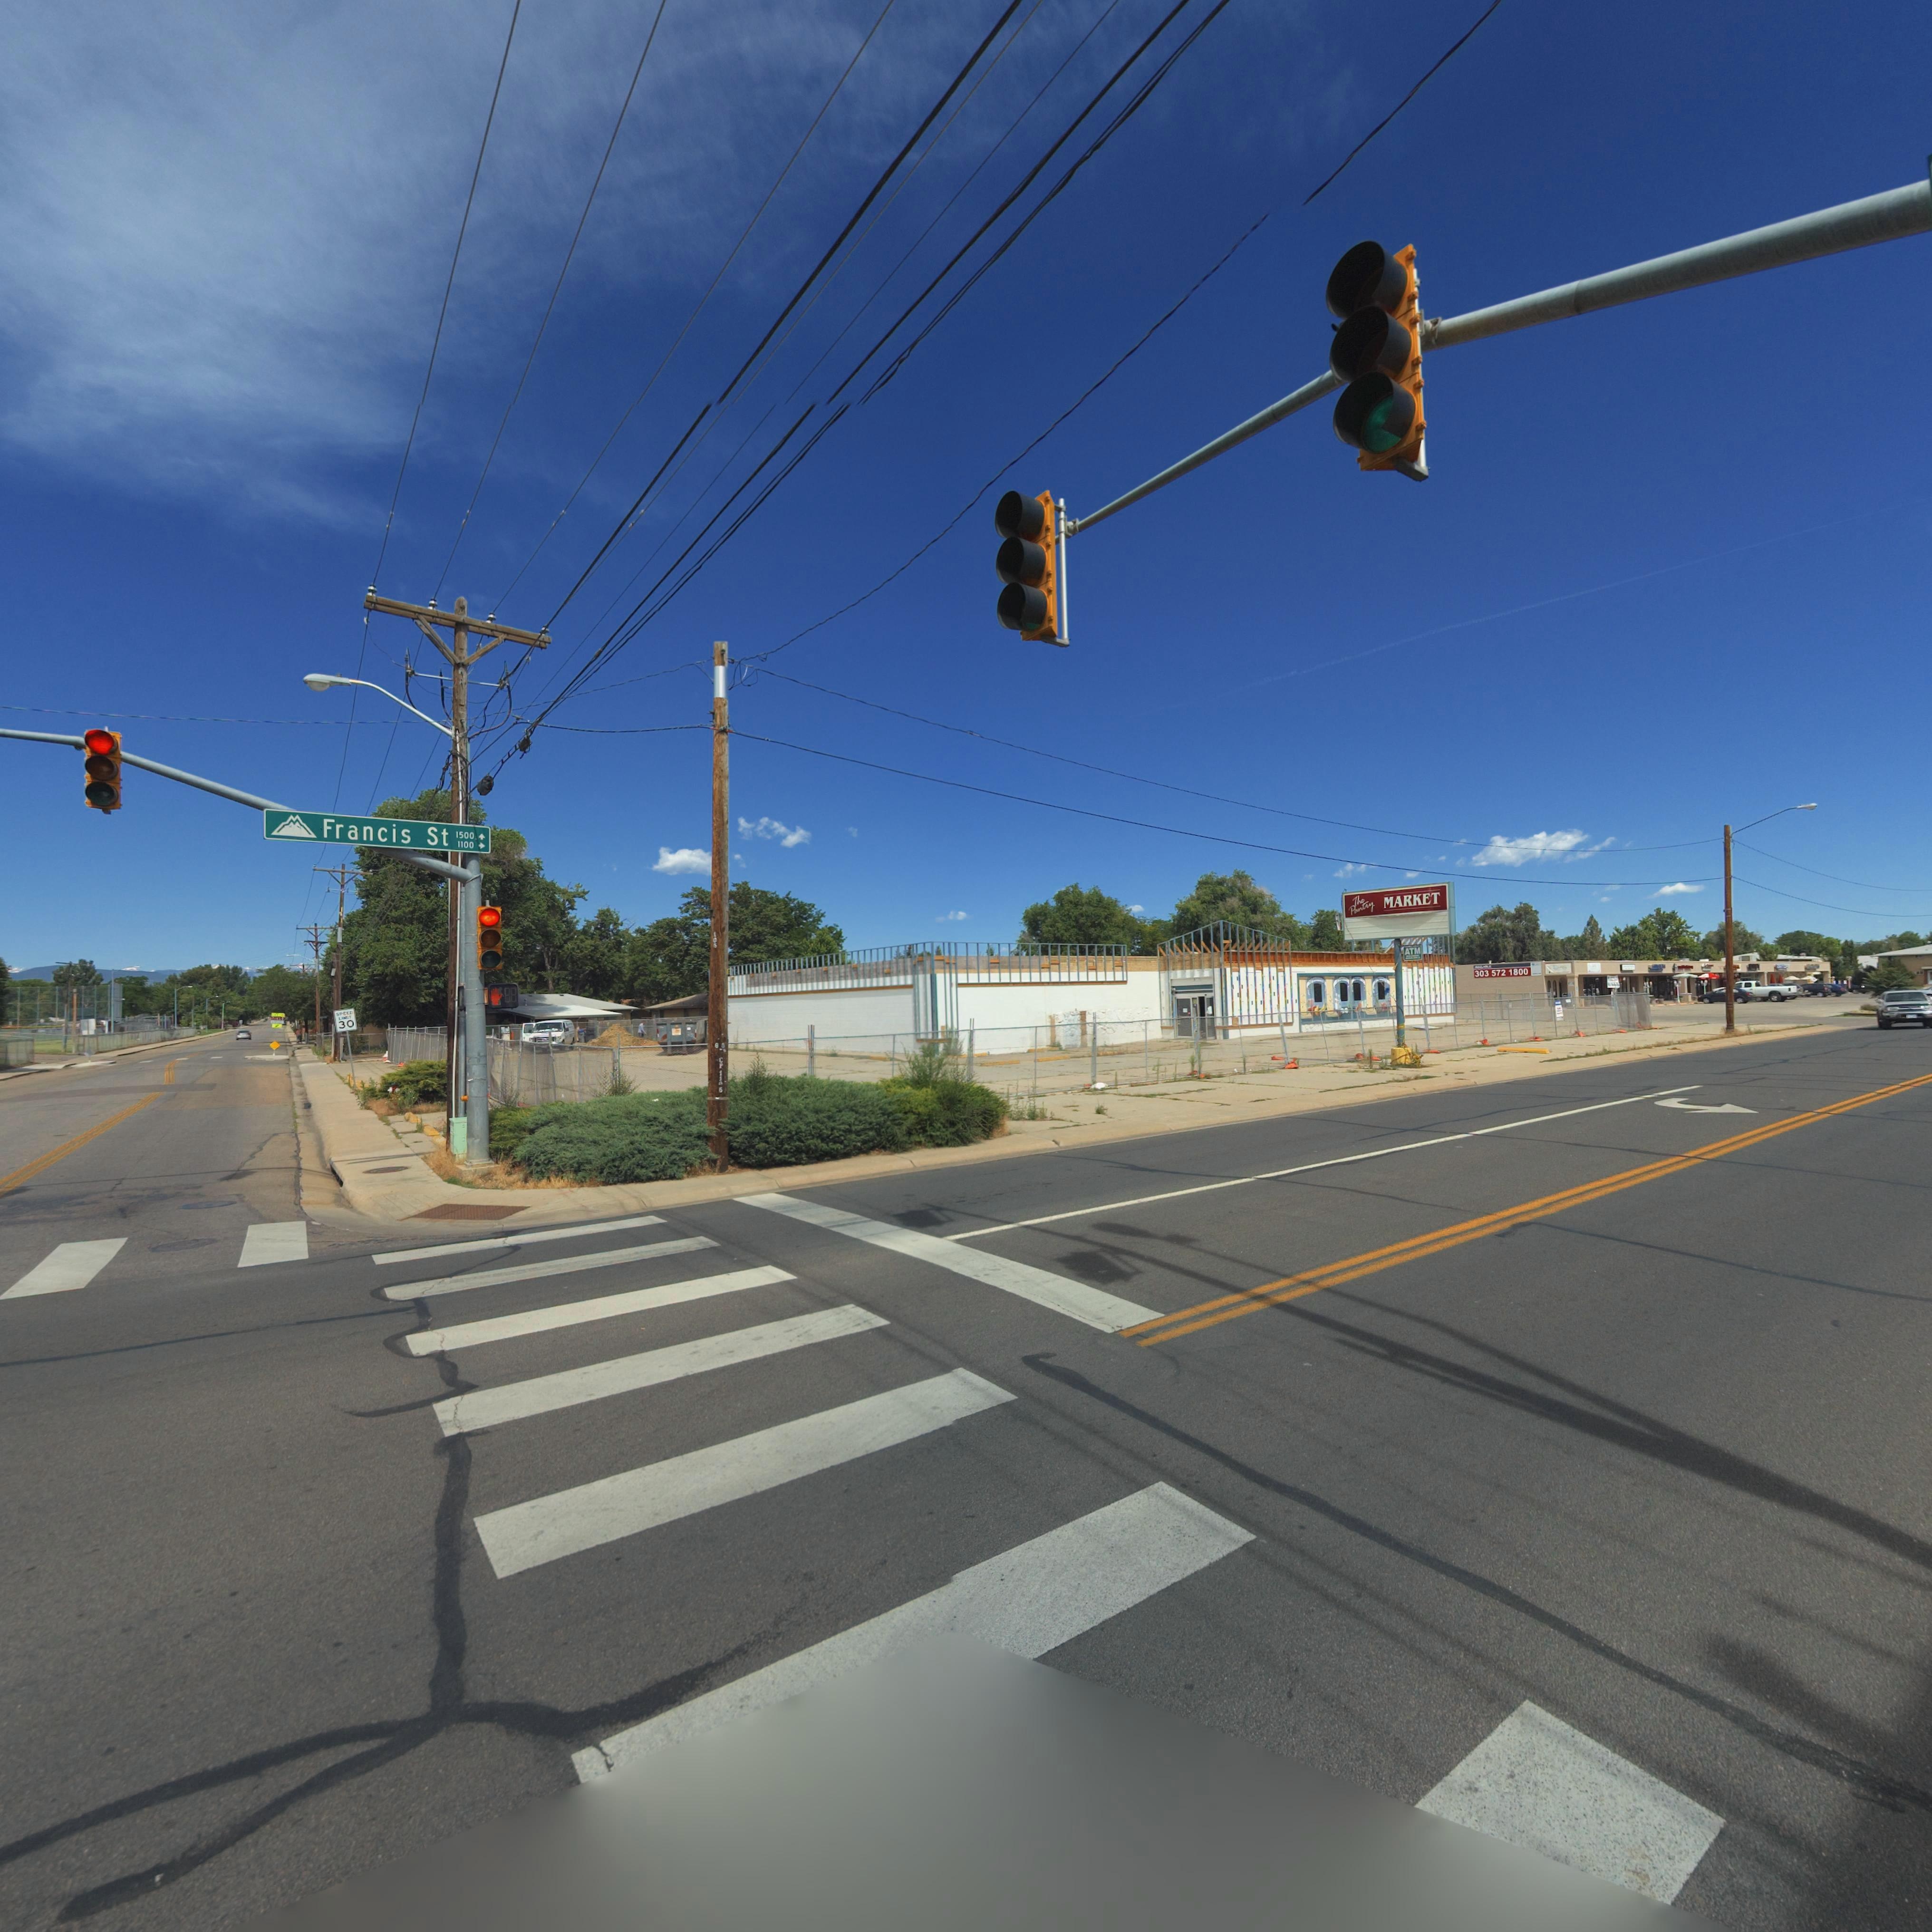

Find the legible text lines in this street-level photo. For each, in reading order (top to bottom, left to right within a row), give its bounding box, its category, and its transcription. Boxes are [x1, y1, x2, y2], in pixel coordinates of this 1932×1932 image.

[322, 817, 450, 847] StreetName: Francis St
[455, 831, 474, 839] StreetNumberRange: 1500
[457, 840, 485, 849] StreetNumberRange: 1100 ->
[1352, 895, 1365, 907] BusinessName: The
[1348, 900, 1375, 915] BusinessName: Pantry
[1383, 891, 1441, 908] BusinessName: MARKET